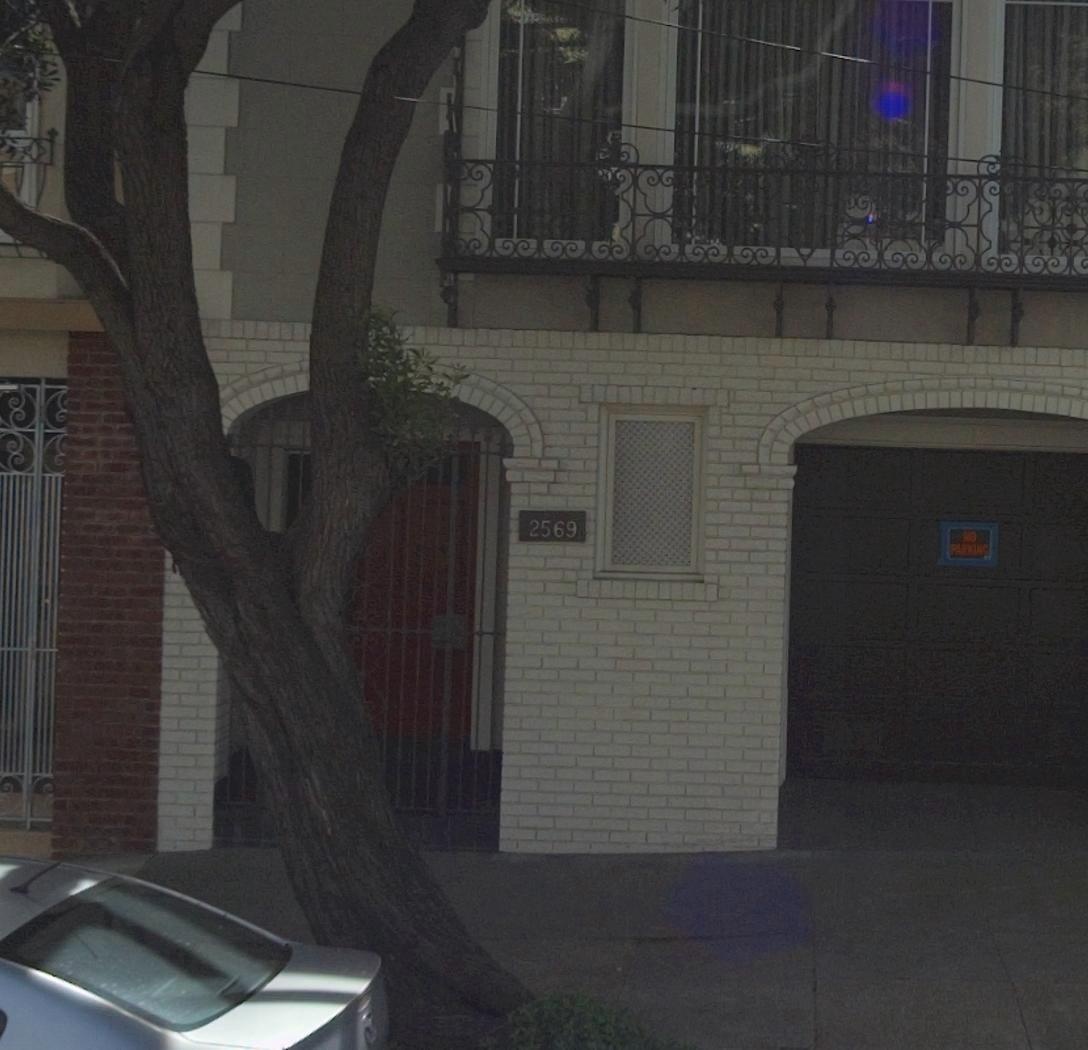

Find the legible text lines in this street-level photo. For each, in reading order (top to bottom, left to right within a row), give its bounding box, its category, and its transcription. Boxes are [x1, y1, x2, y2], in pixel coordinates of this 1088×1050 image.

[527, 517, 579, 541] StreetNumber: 2569
[961, 528, 979, 545] None: NO
[948, 541, 991, 558] None: PARKING